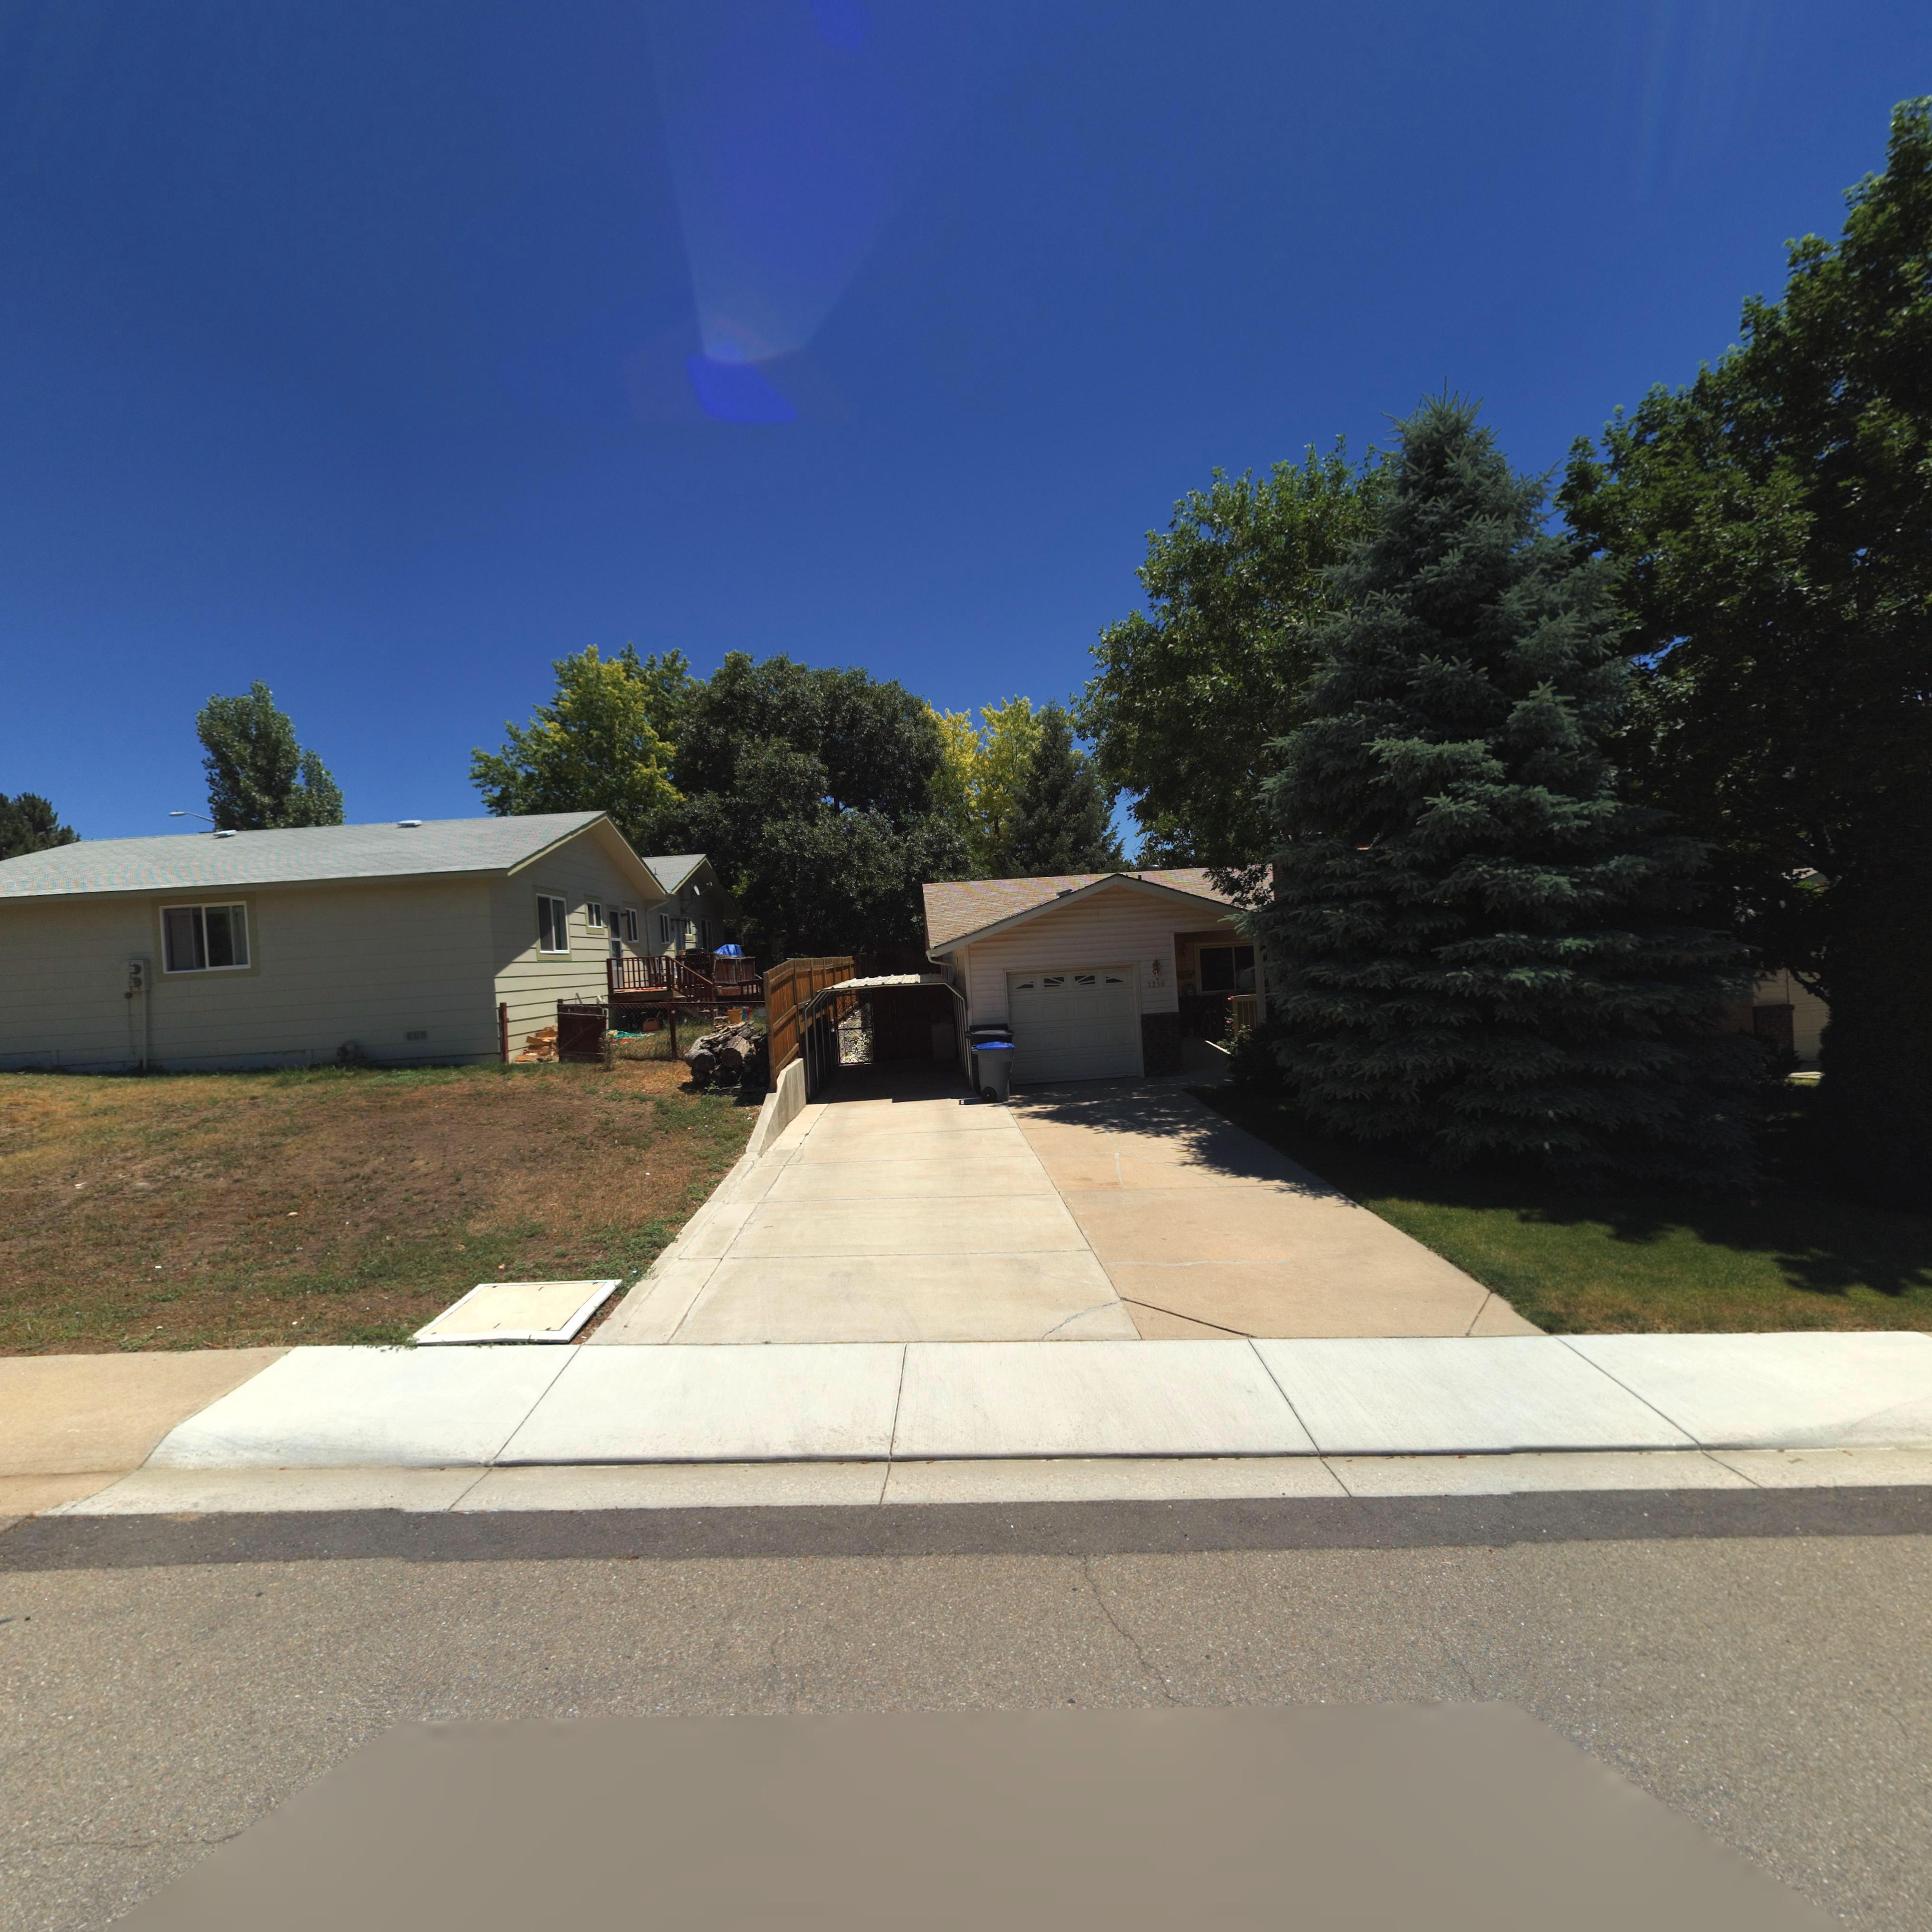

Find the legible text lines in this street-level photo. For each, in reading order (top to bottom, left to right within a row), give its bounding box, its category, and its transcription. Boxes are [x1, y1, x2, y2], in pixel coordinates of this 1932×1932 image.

[1146, 981, 1165, 987] StreetNumber: 2250